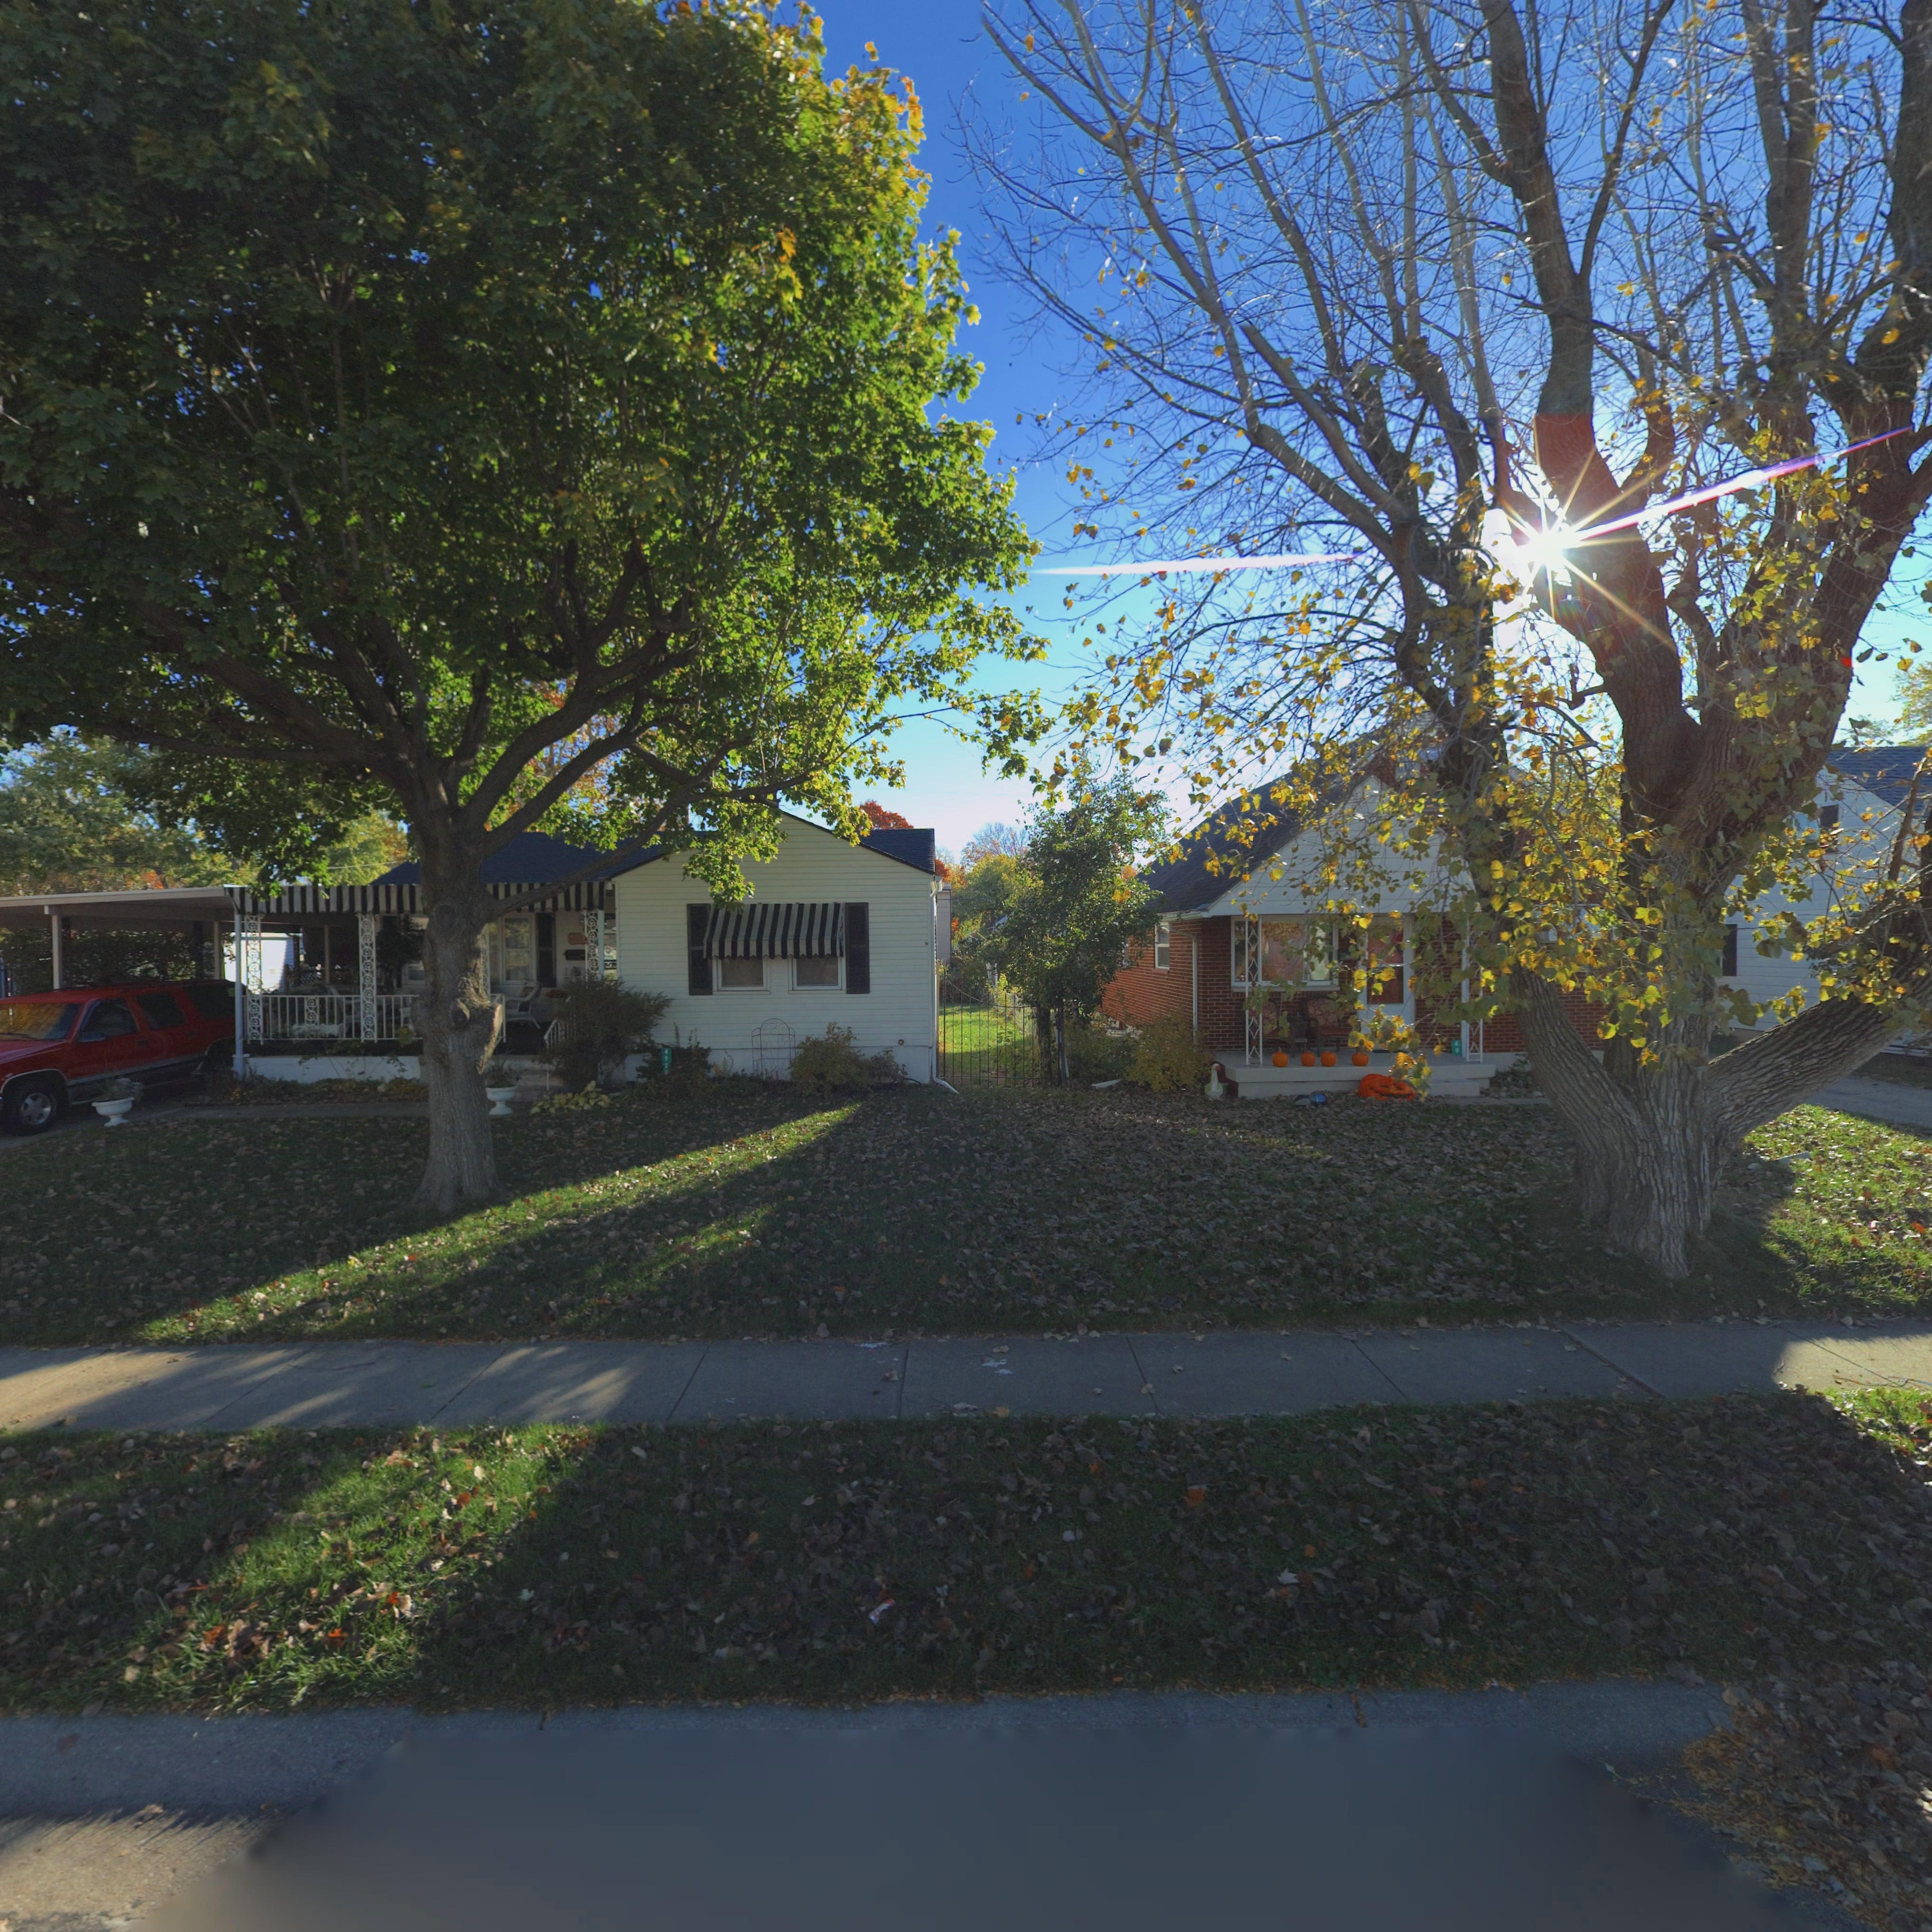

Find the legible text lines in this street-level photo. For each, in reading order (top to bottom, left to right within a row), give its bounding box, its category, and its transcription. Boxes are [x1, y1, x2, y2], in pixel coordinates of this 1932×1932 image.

[663, 1048, 669, 1069] StreetNumber: 492